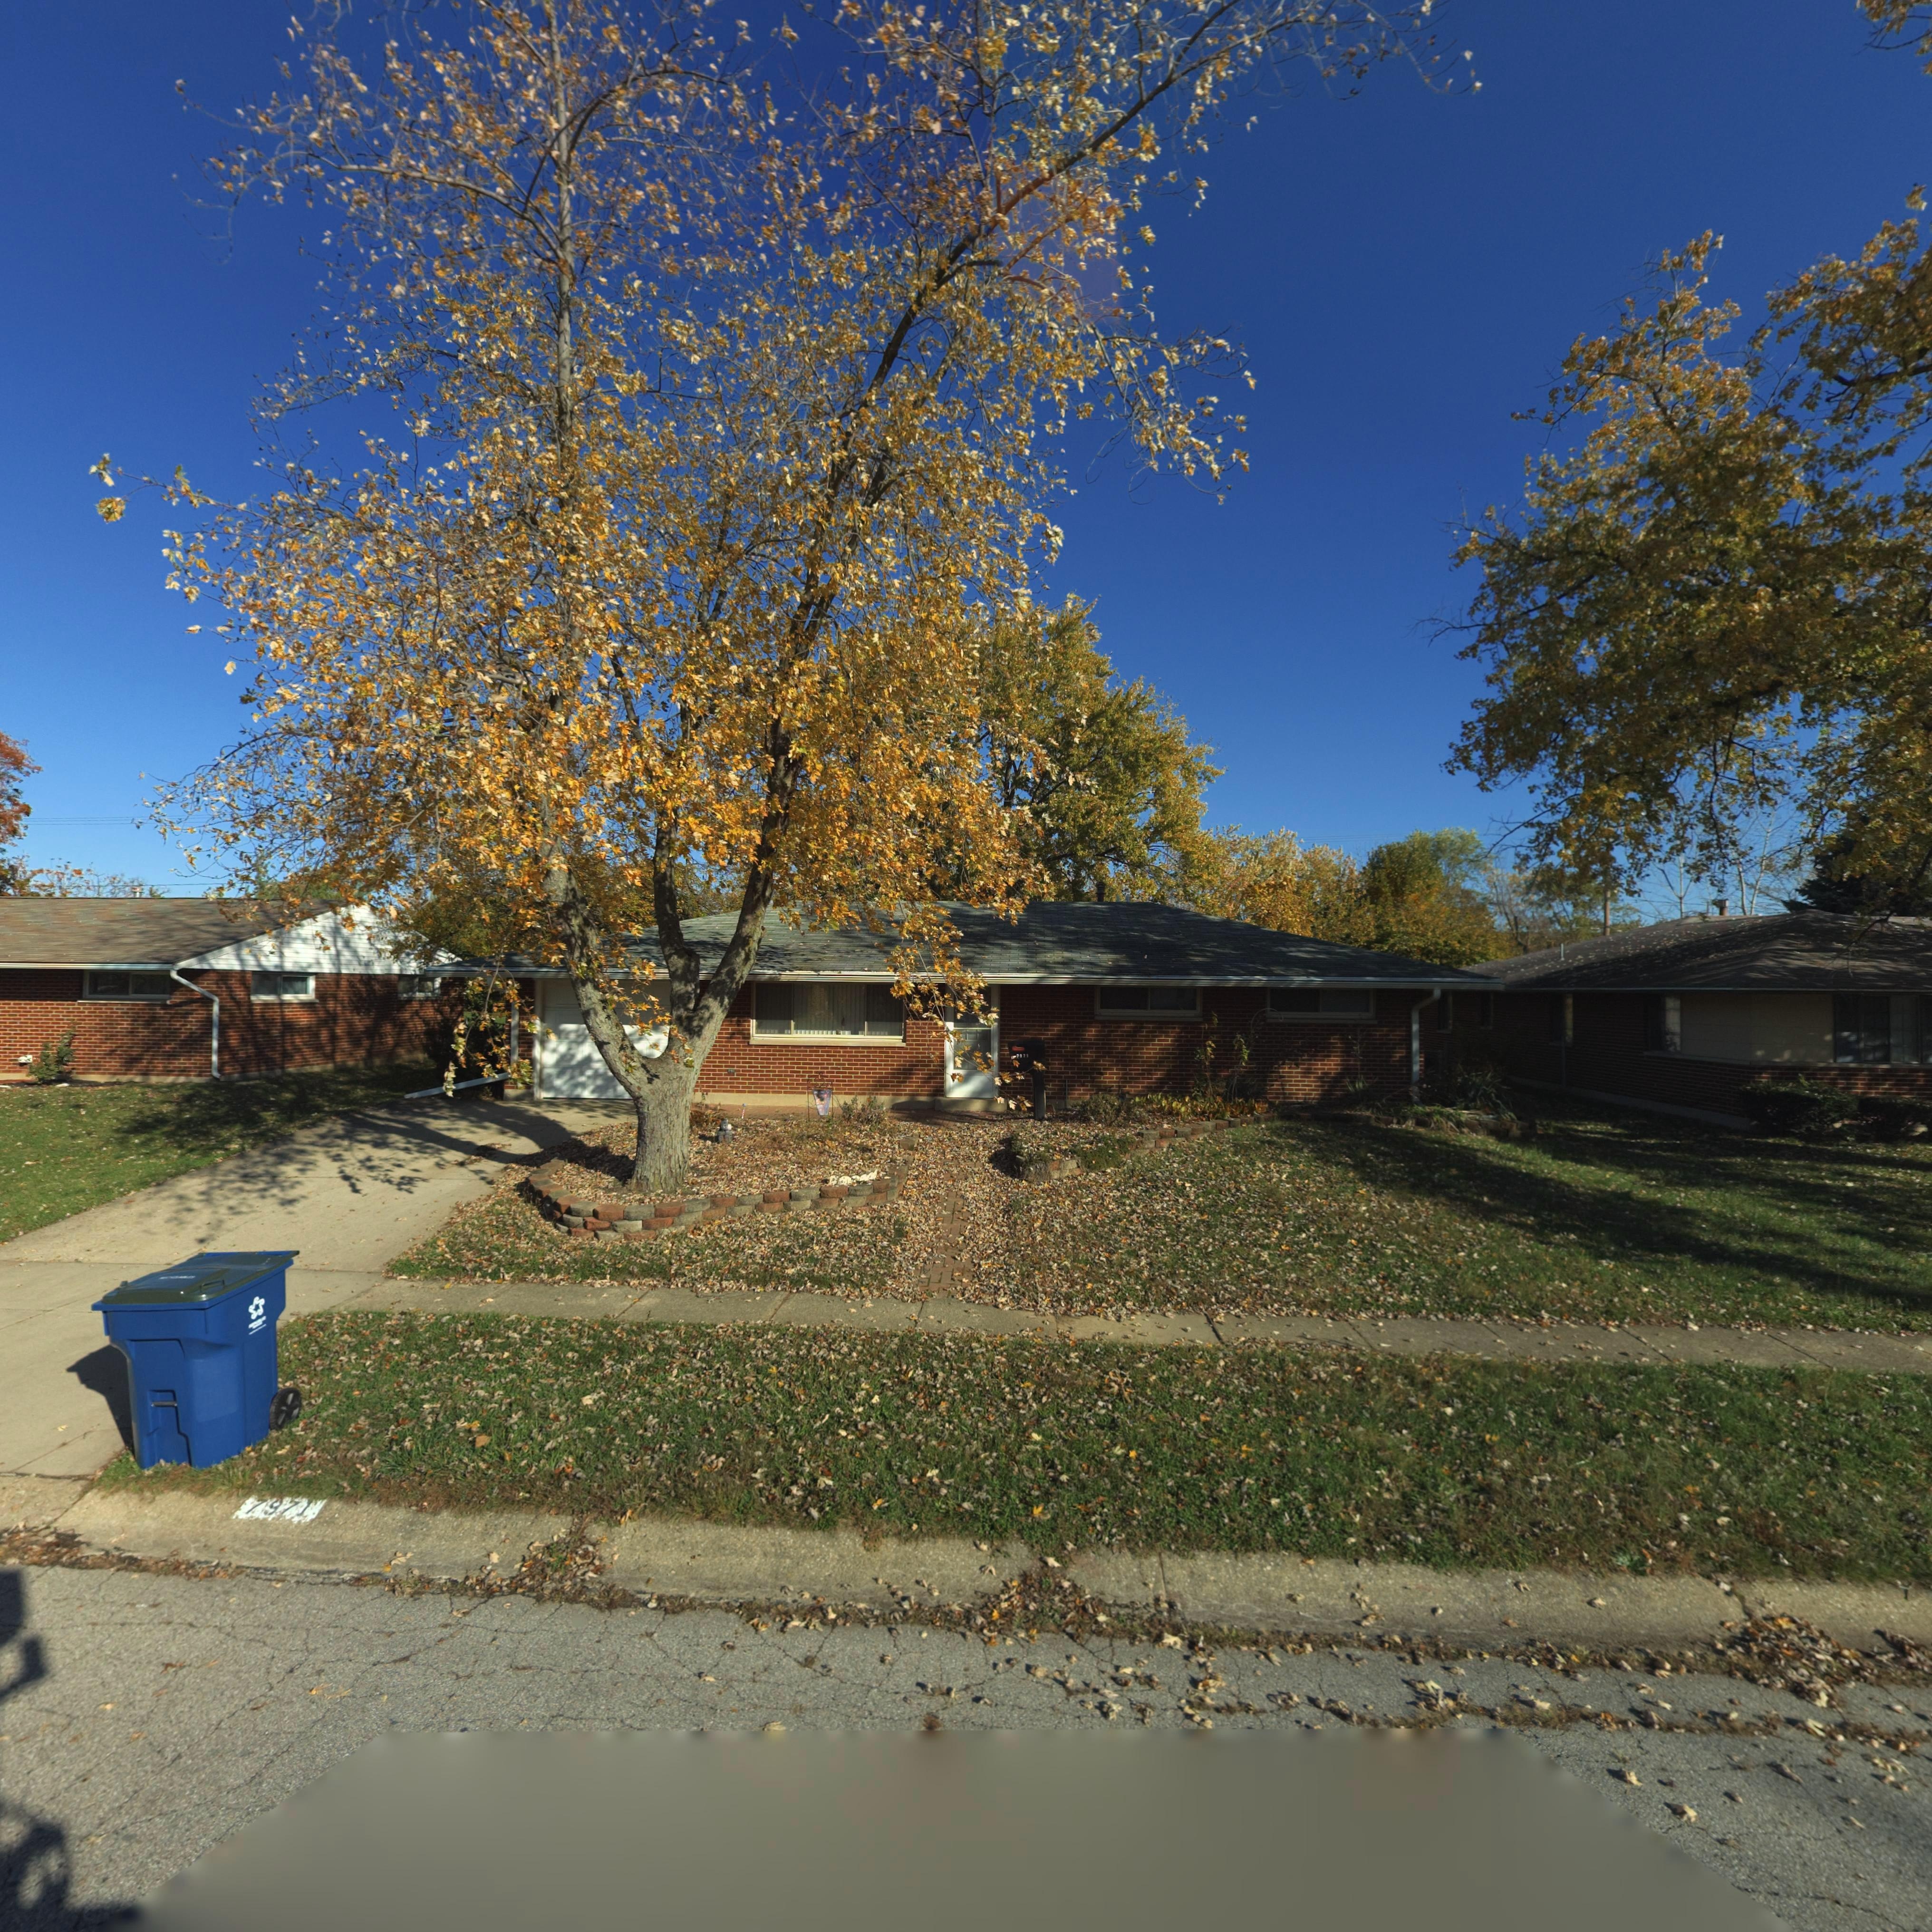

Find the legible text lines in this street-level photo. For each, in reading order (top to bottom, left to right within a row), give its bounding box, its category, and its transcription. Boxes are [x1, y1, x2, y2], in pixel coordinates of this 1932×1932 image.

[1014, 1053, 1029, 1059] StreetNumber: 7971
[242, 1497, 316, 1518] StreetNumber: 7971